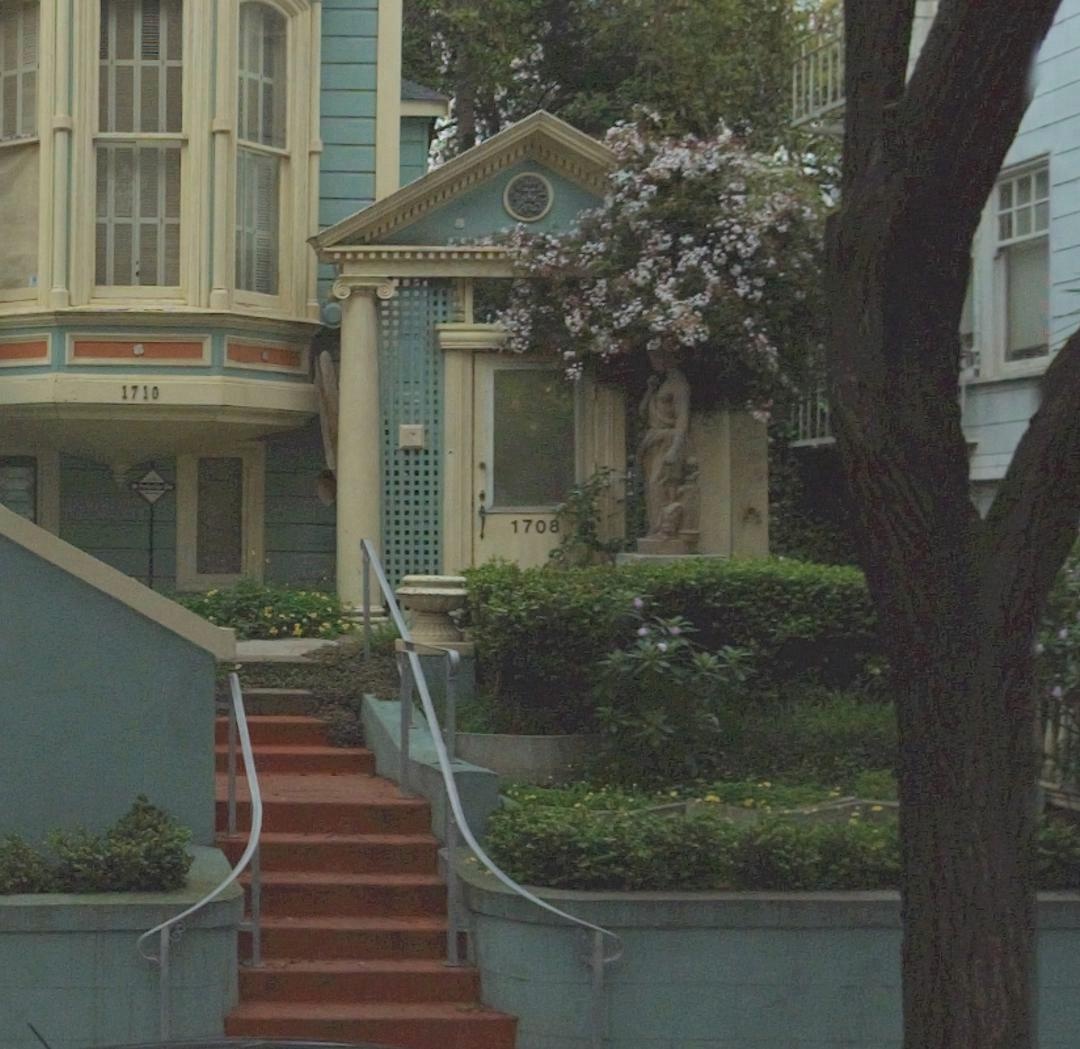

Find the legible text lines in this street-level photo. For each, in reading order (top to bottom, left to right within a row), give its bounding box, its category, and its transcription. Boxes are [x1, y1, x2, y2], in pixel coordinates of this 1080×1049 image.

[120, 384, 160, 401] StreetNumber: 1710
[510, 518, 560, 534] StreetNumber: 1708